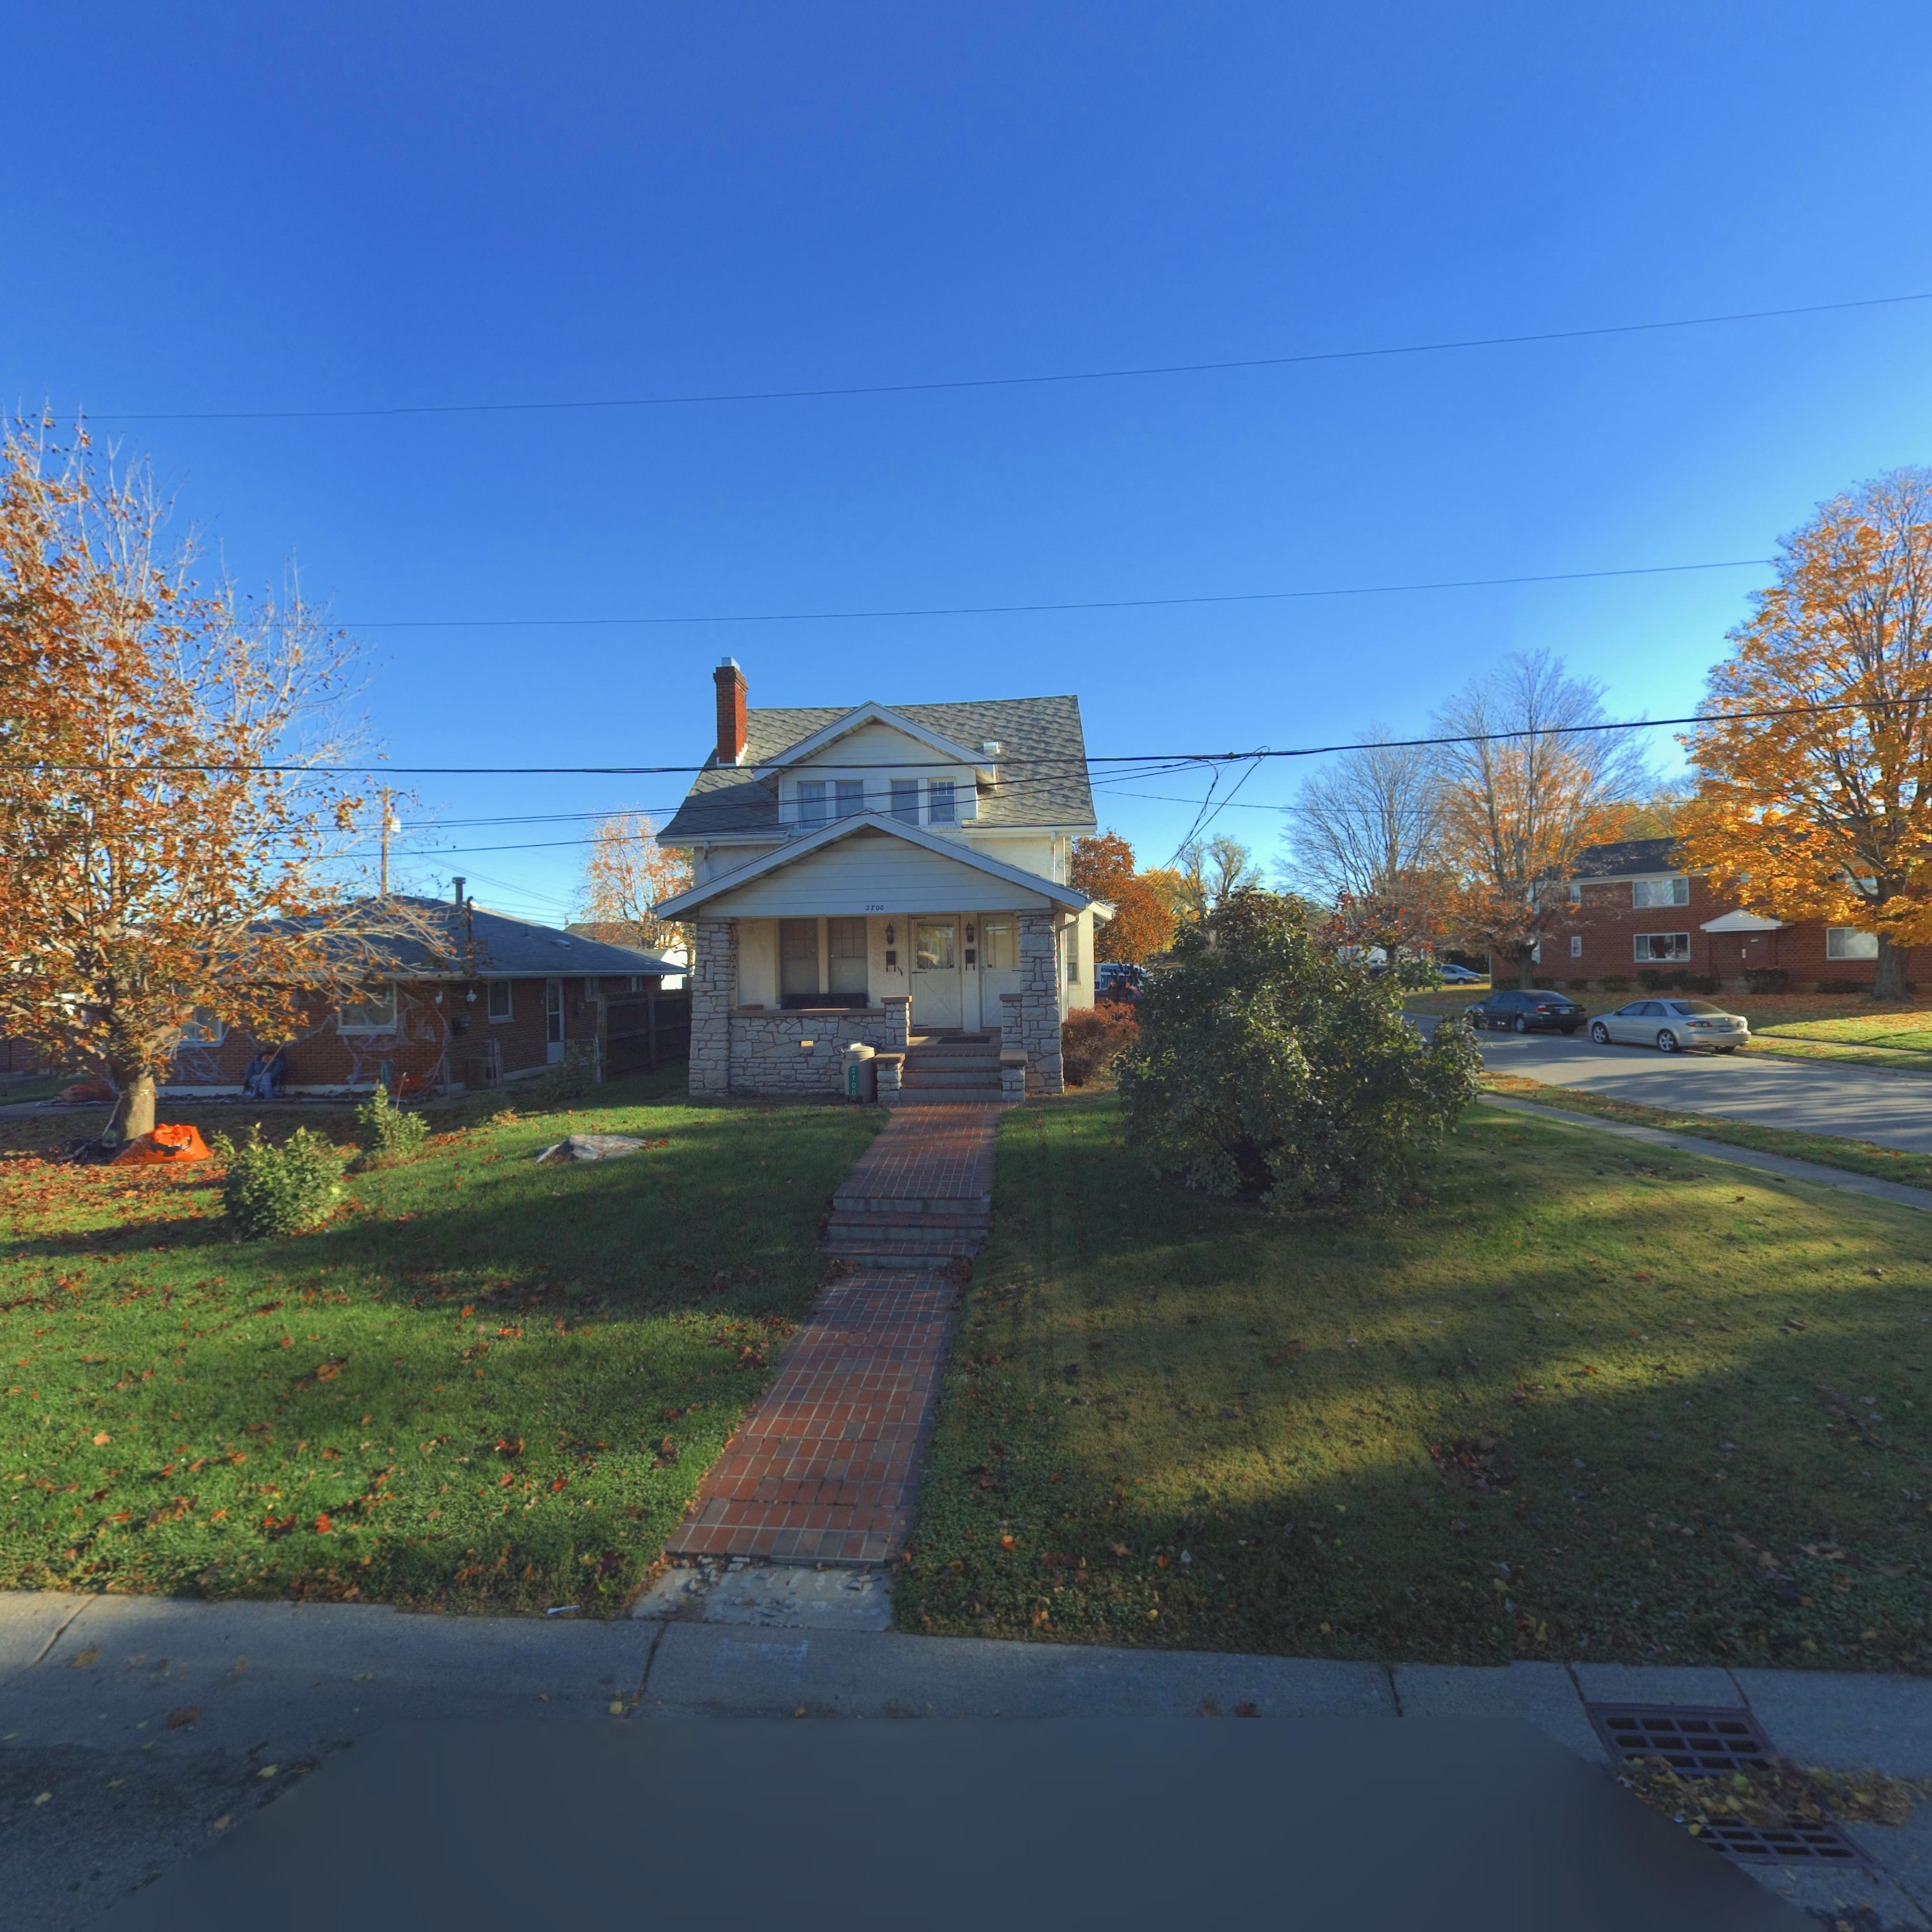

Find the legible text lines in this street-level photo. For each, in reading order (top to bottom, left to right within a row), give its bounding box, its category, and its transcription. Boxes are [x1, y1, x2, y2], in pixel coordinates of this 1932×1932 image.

[865, 904, 885, 911] StreetNumber: 2700